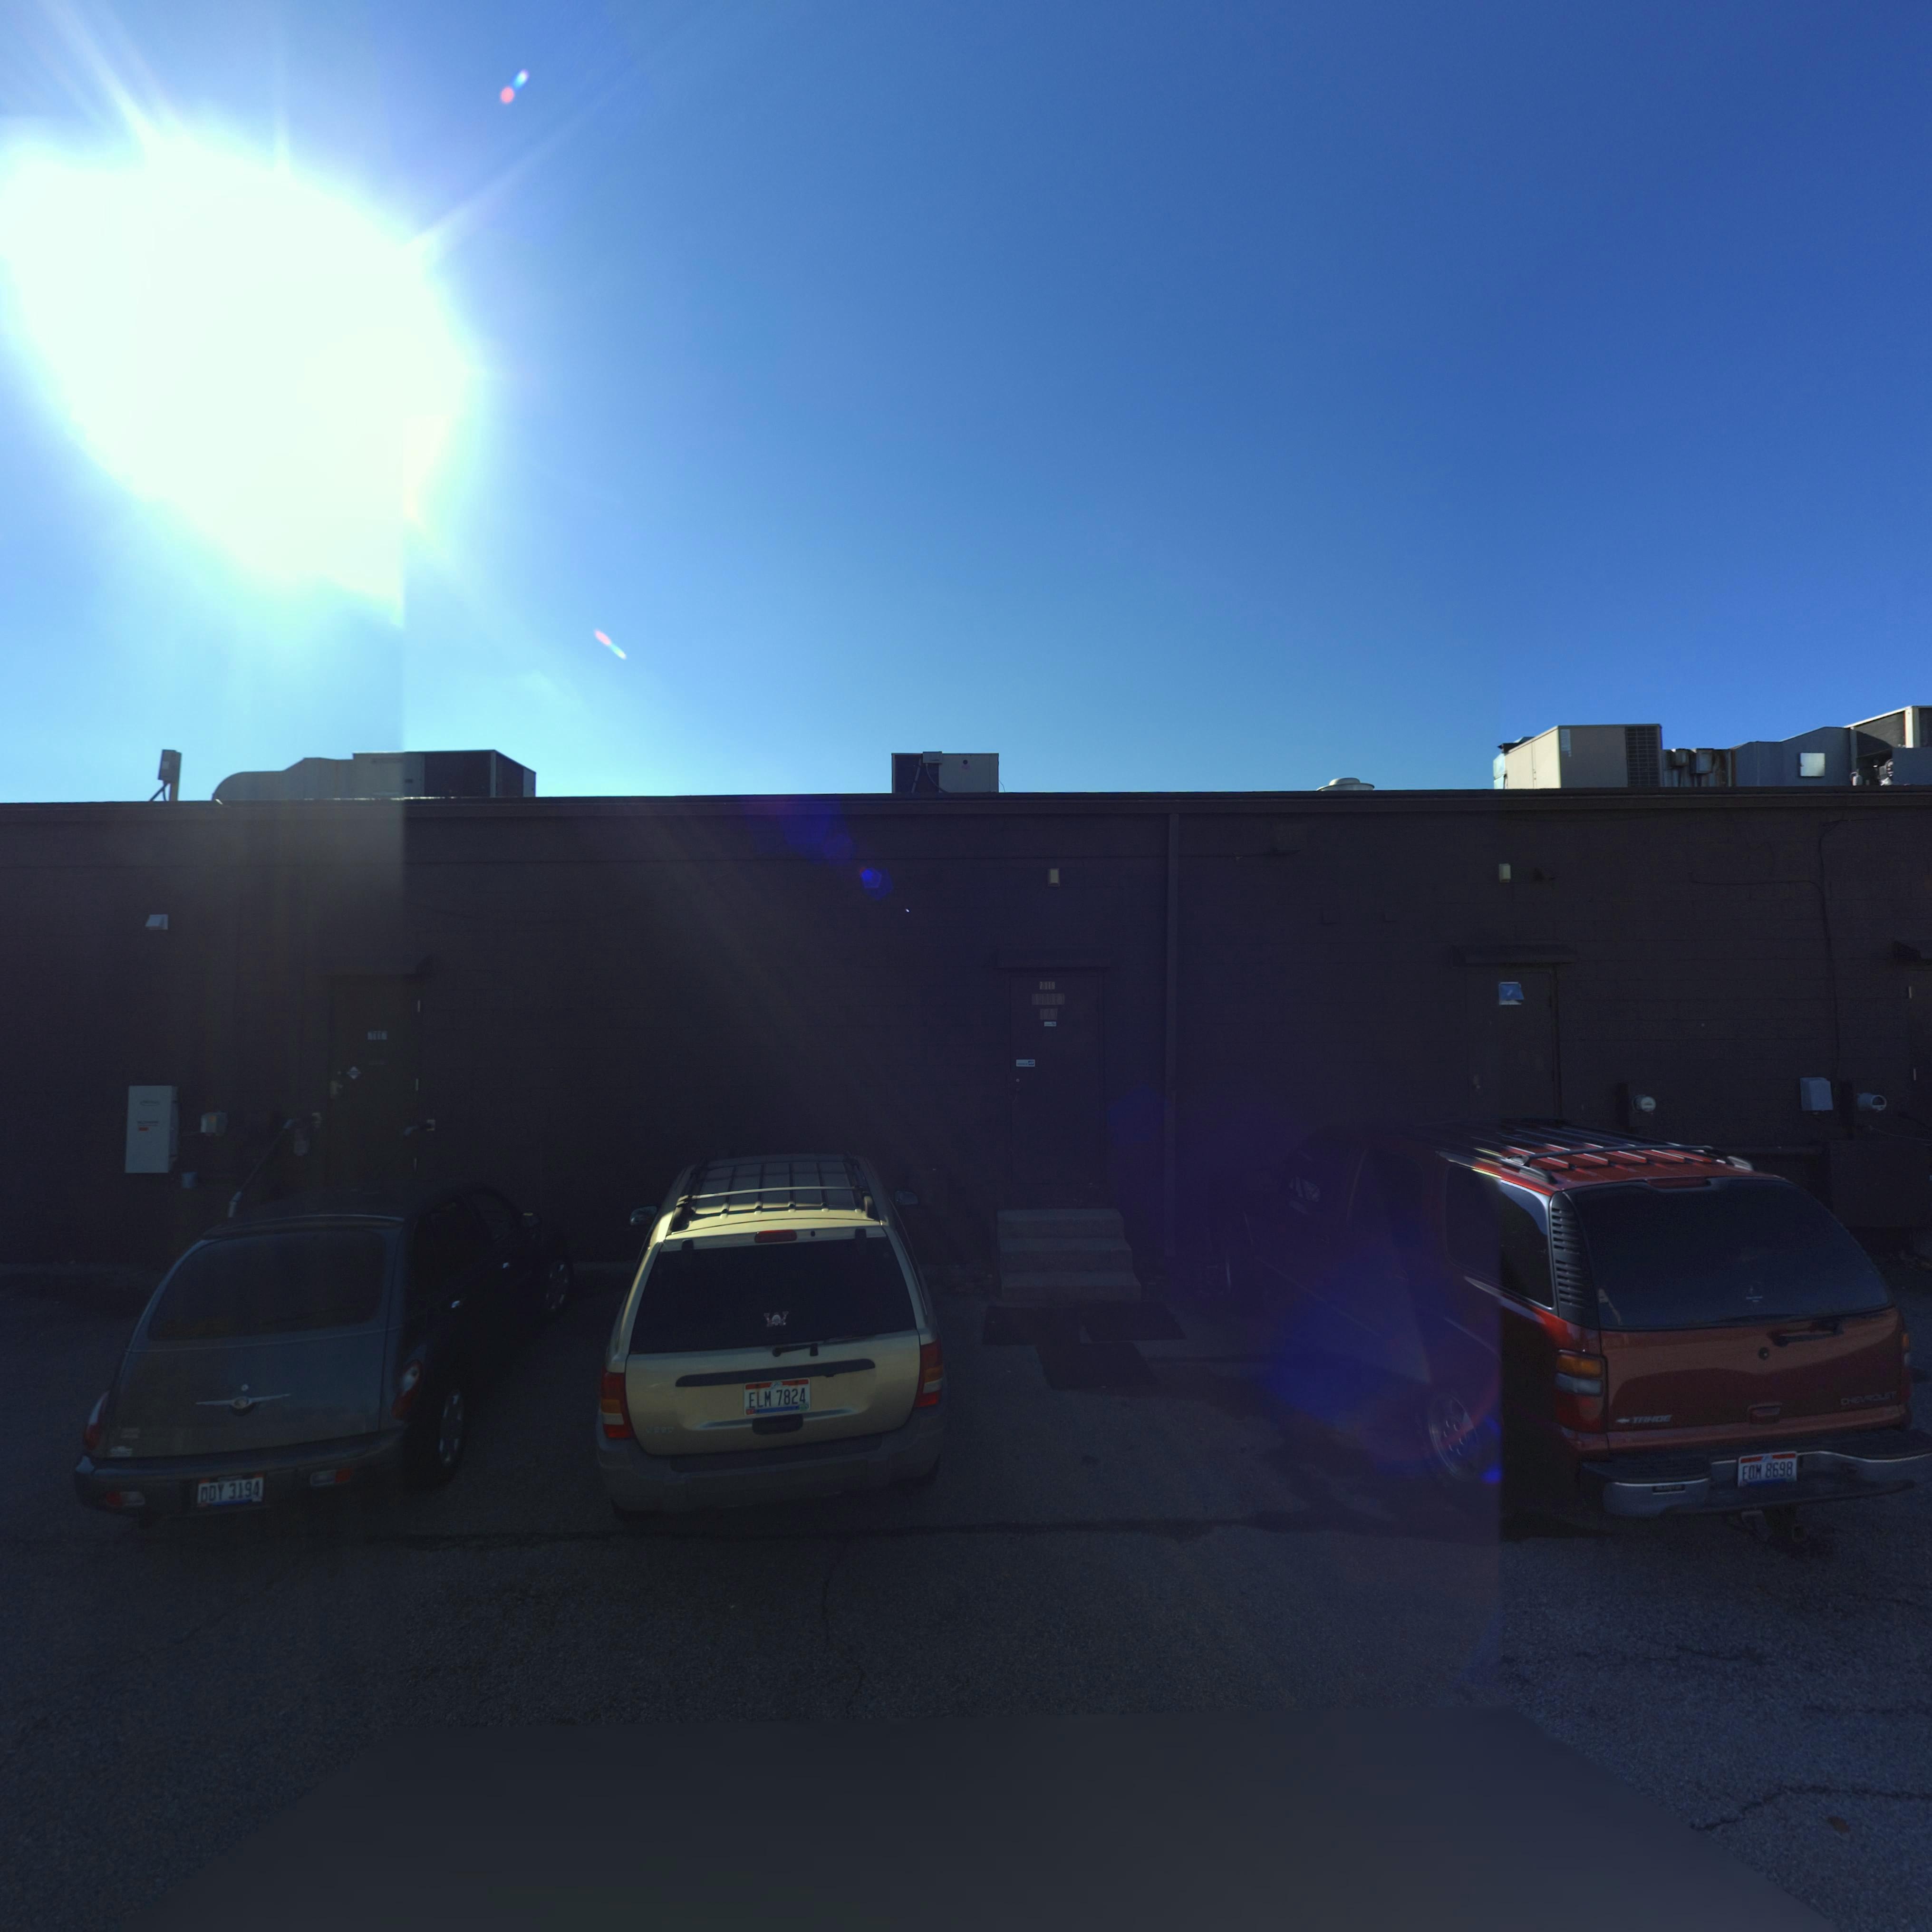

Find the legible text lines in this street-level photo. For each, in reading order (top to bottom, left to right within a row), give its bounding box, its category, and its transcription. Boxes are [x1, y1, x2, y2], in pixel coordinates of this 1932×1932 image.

[1039, 981, 1055, 990] StreetNumber: 7119
[367, 1030, 388, 1040] StreetNumber: 7117